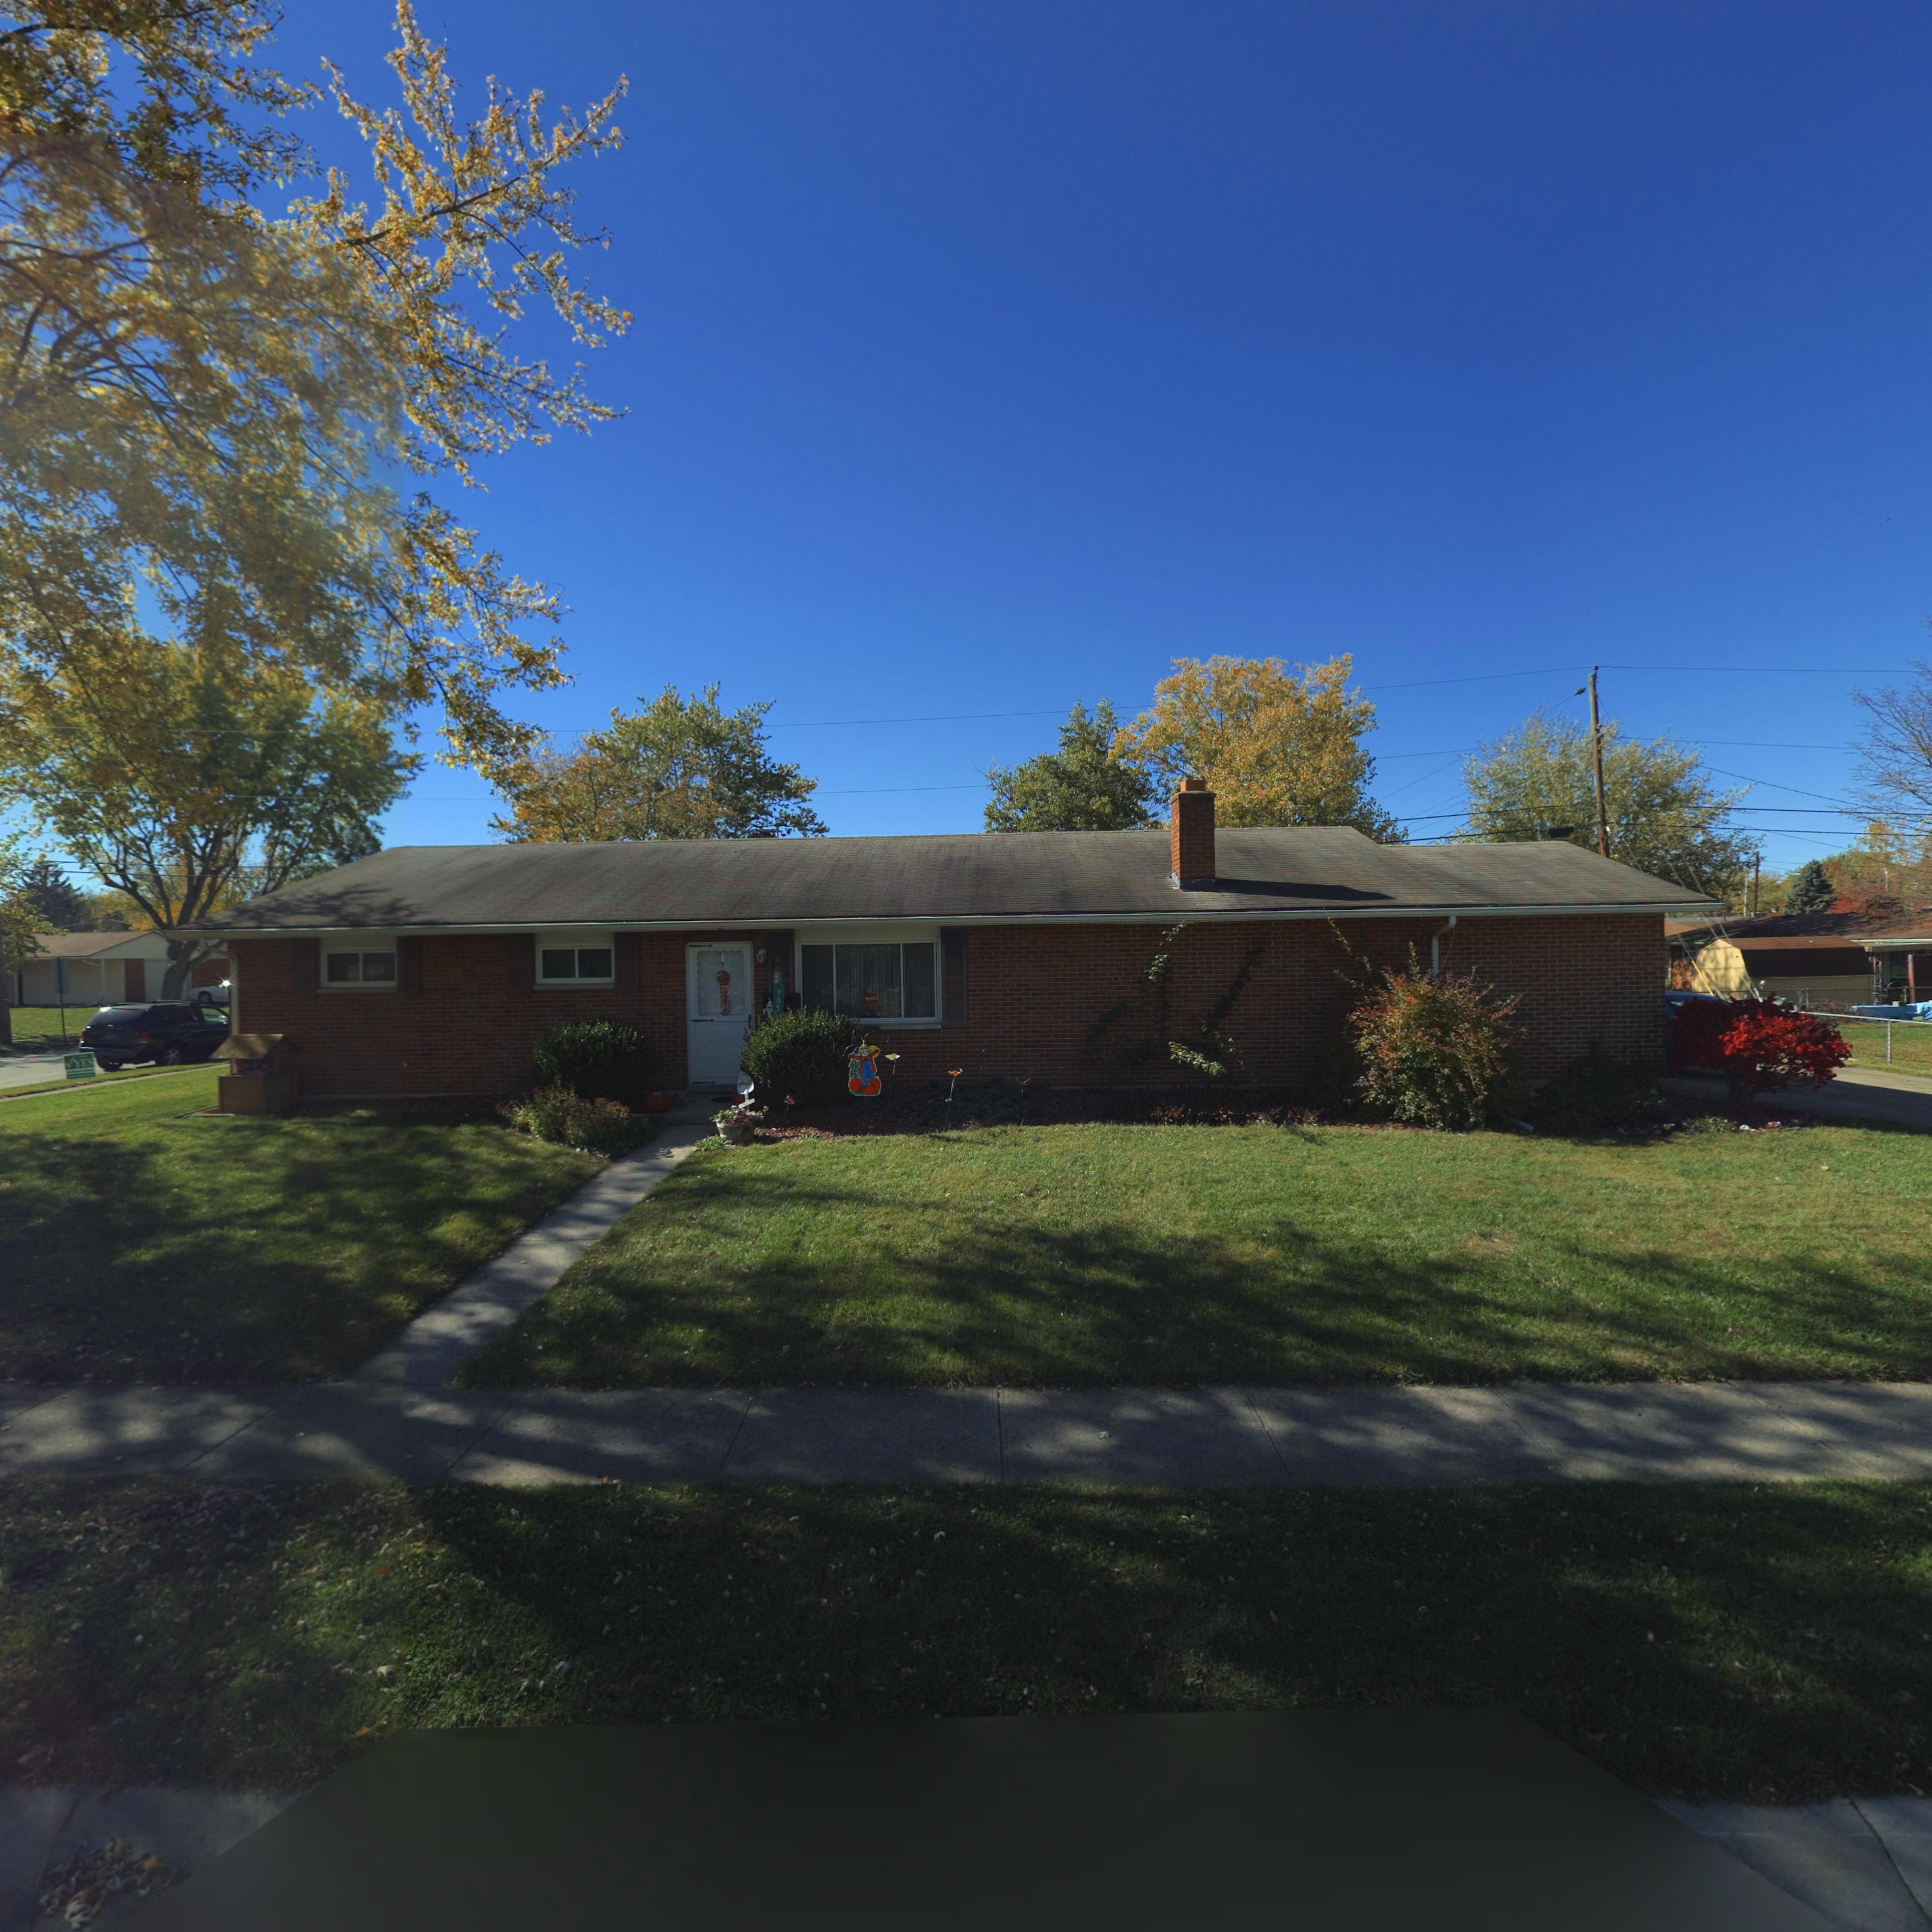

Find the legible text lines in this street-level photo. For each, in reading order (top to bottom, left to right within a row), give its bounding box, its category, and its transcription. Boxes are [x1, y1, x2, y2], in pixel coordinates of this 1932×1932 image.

[775, 989, 782, 1013] StreetNumber: 705